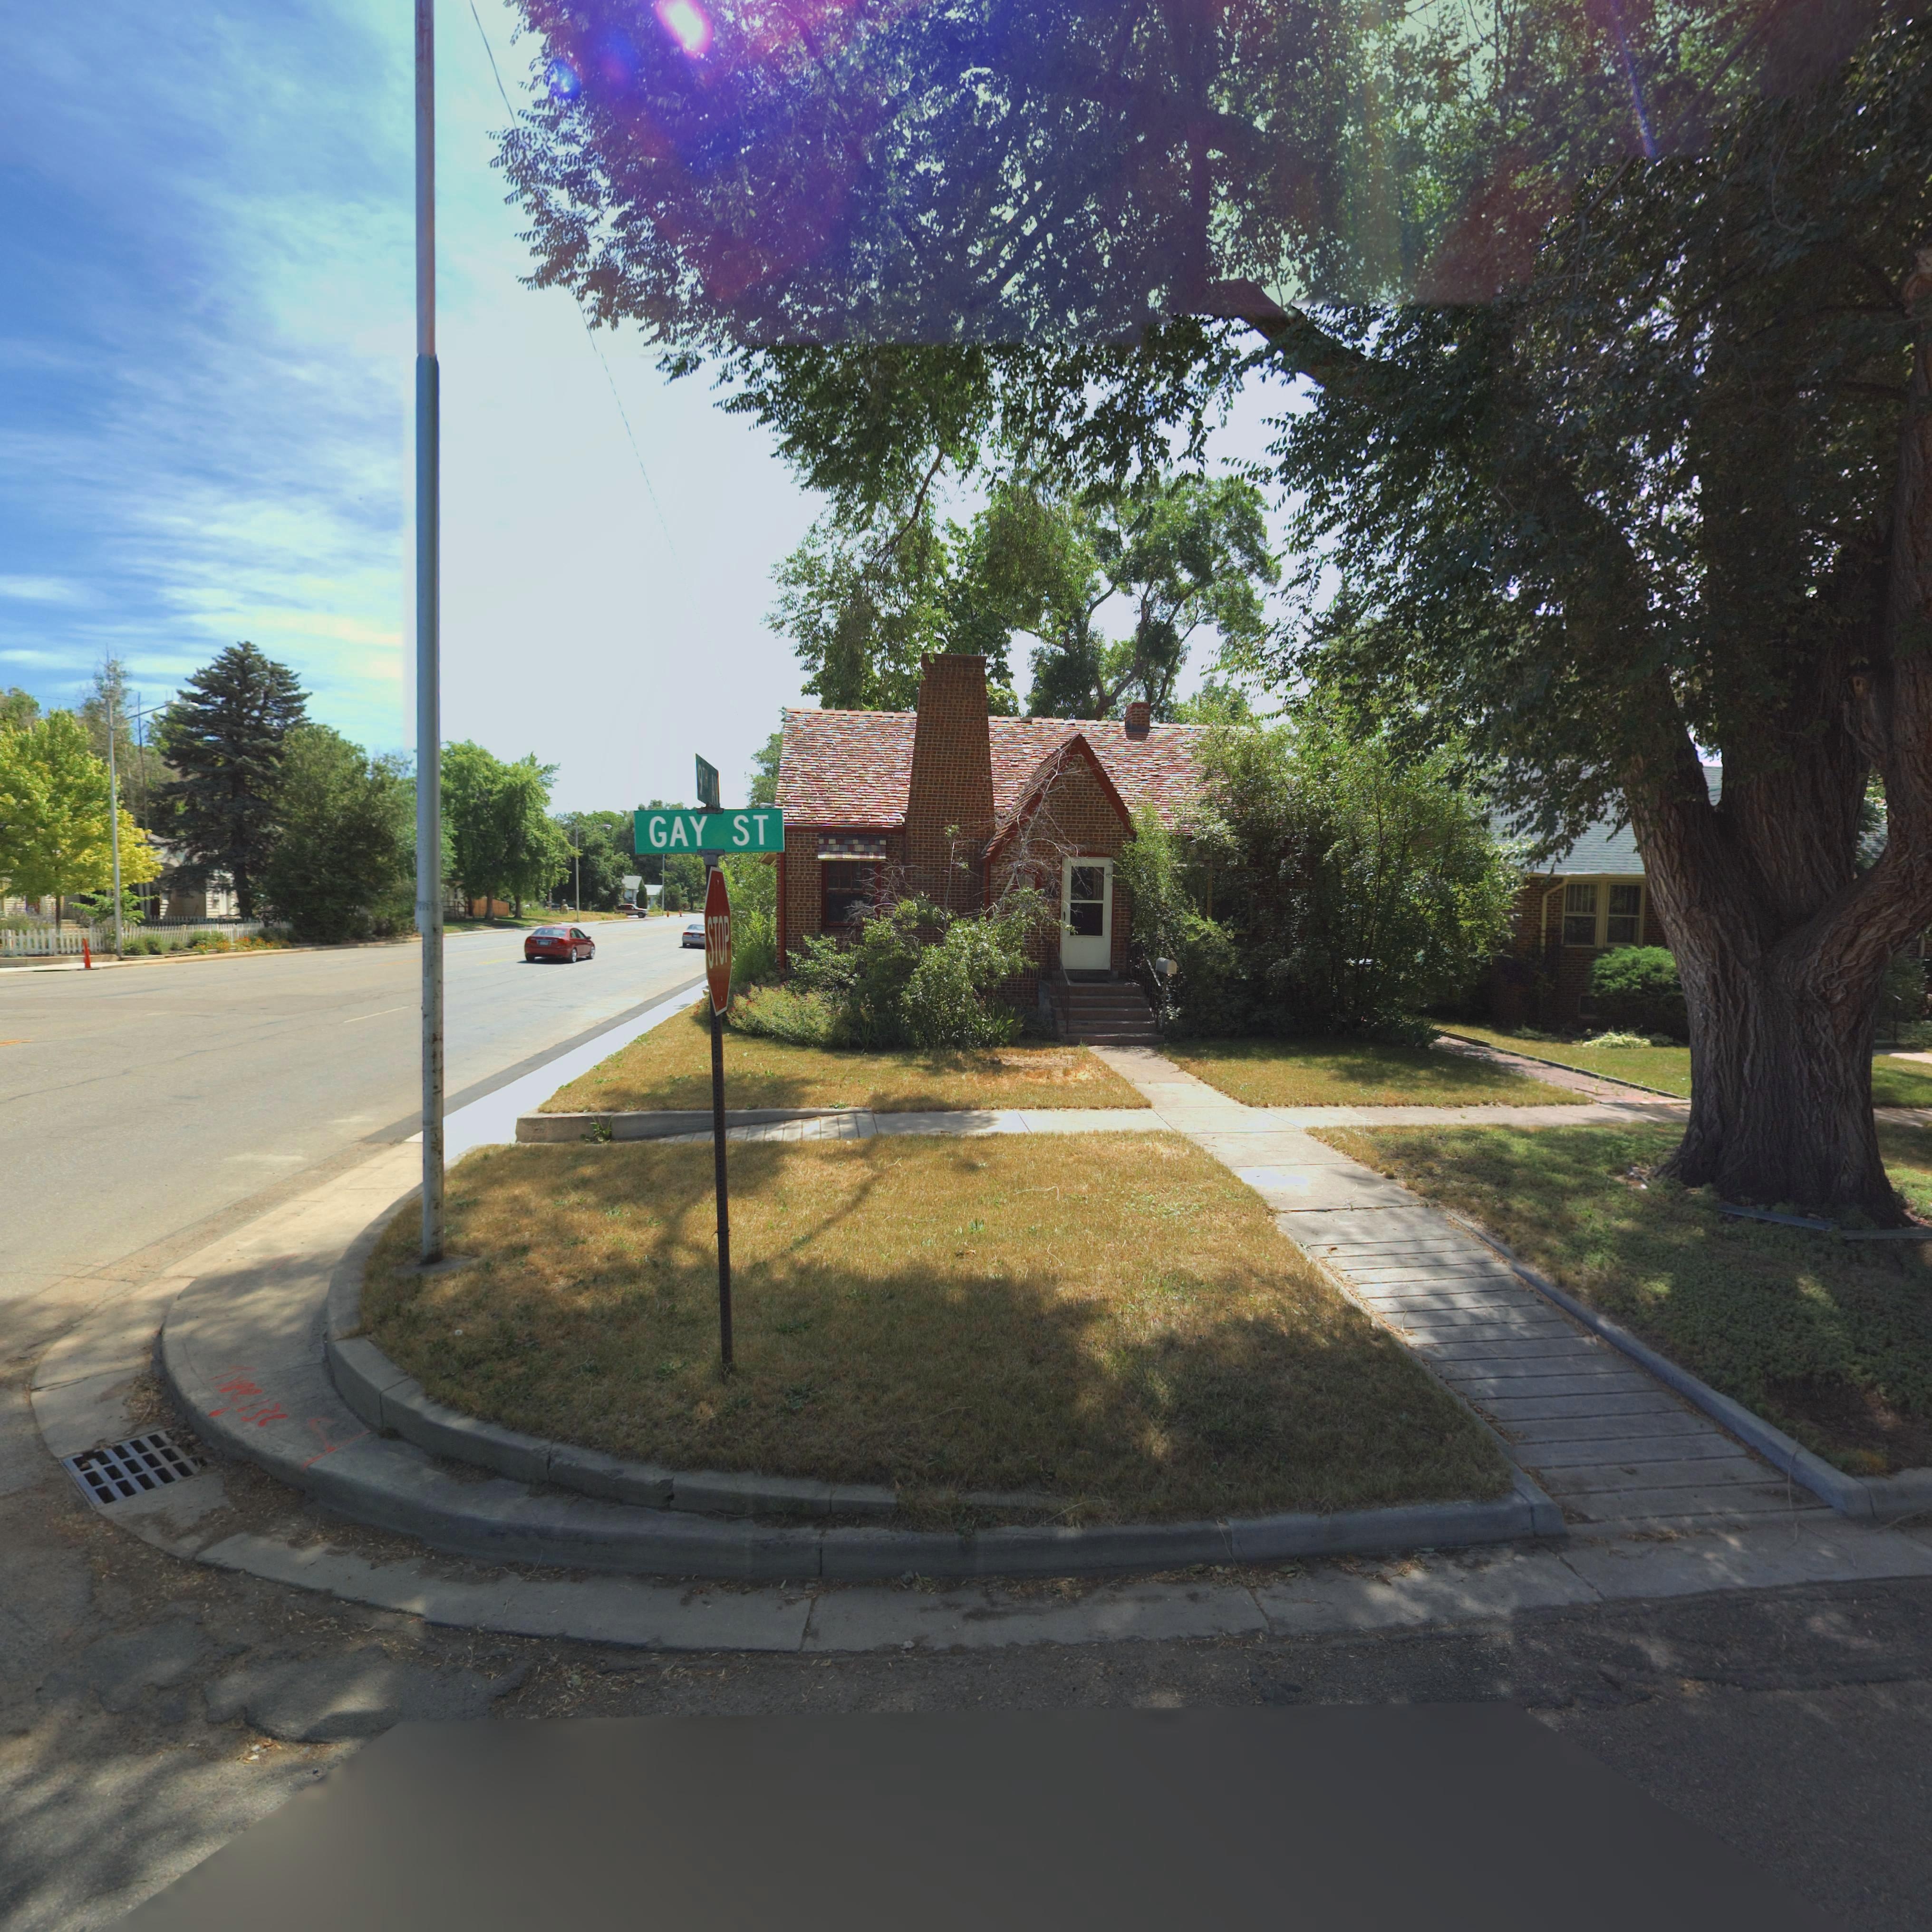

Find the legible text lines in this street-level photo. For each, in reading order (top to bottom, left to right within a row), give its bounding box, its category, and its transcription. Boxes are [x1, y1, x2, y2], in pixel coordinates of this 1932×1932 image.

[697, 763, 719, 806] StreetName: 9TH AV
[647, 813, 770, 848] StreetName: GAY ST